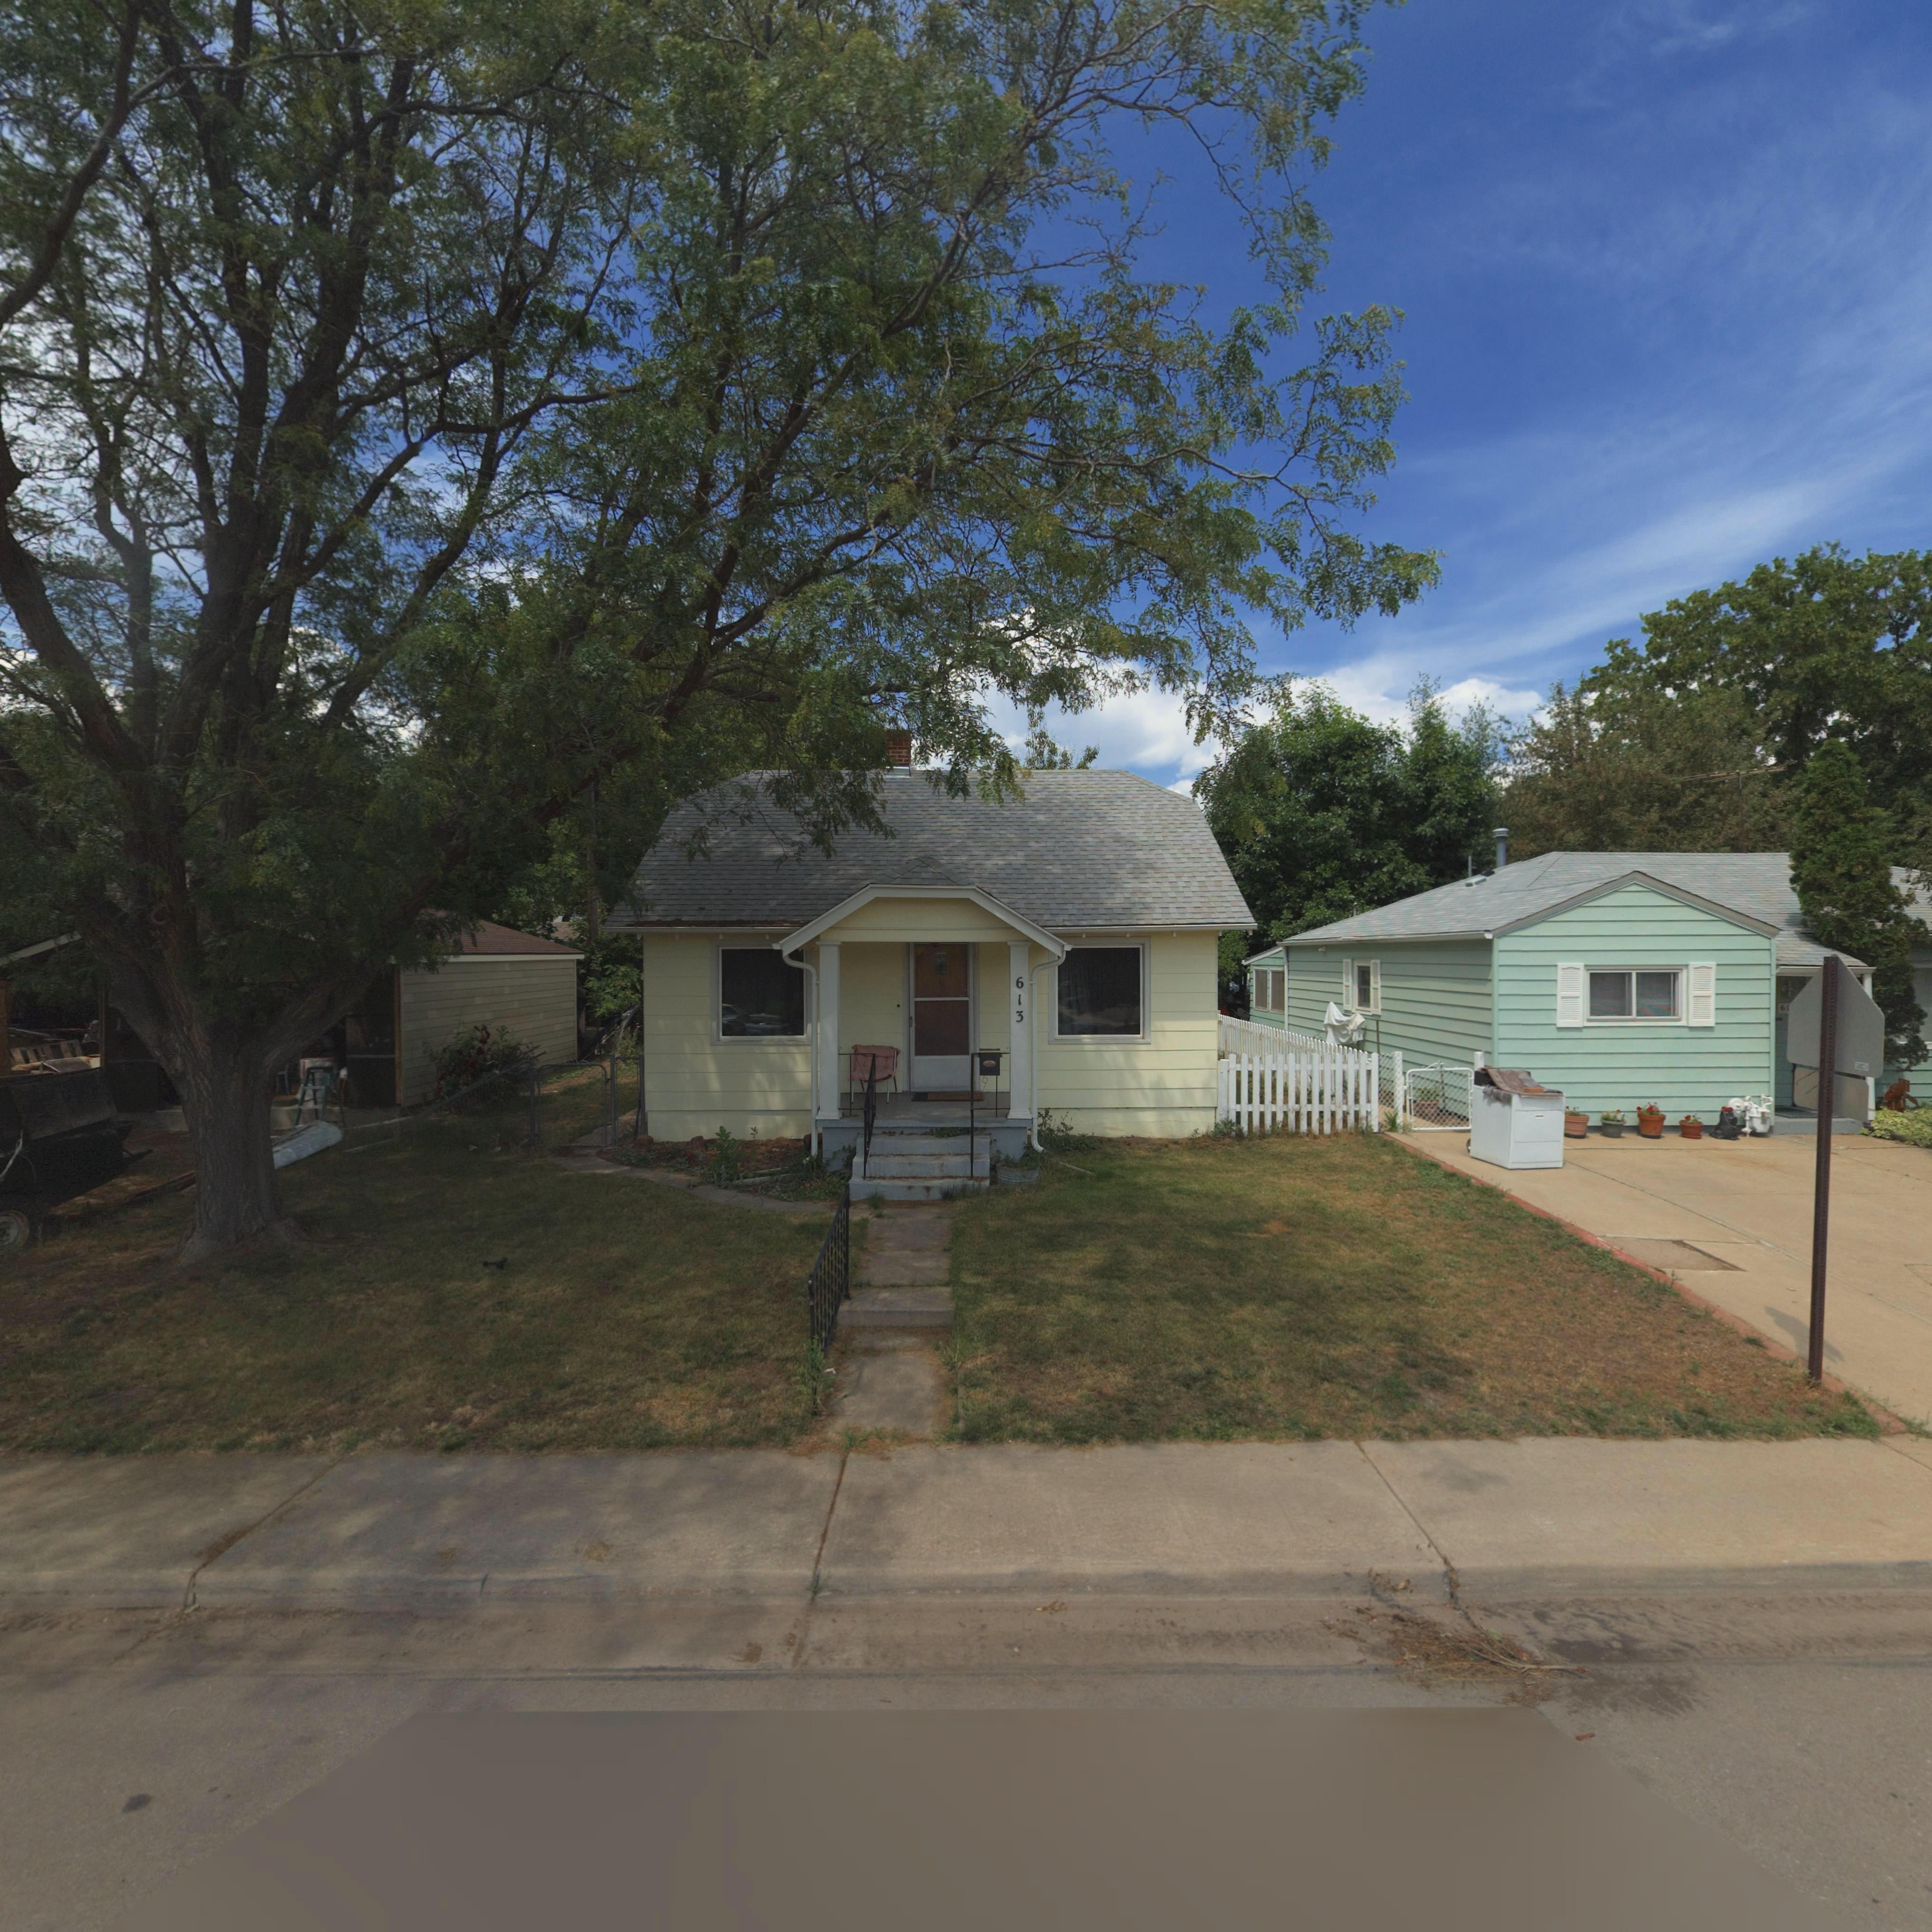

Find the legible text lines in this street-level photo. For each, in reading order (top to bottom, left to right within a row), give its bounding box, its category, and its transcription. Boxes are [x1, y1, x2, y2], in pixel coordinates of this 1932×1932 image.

[1015, 976, 1024, 1023] StreetNumber: 613
[1780, 1004, 1789, 1011] StreetNumber: 61